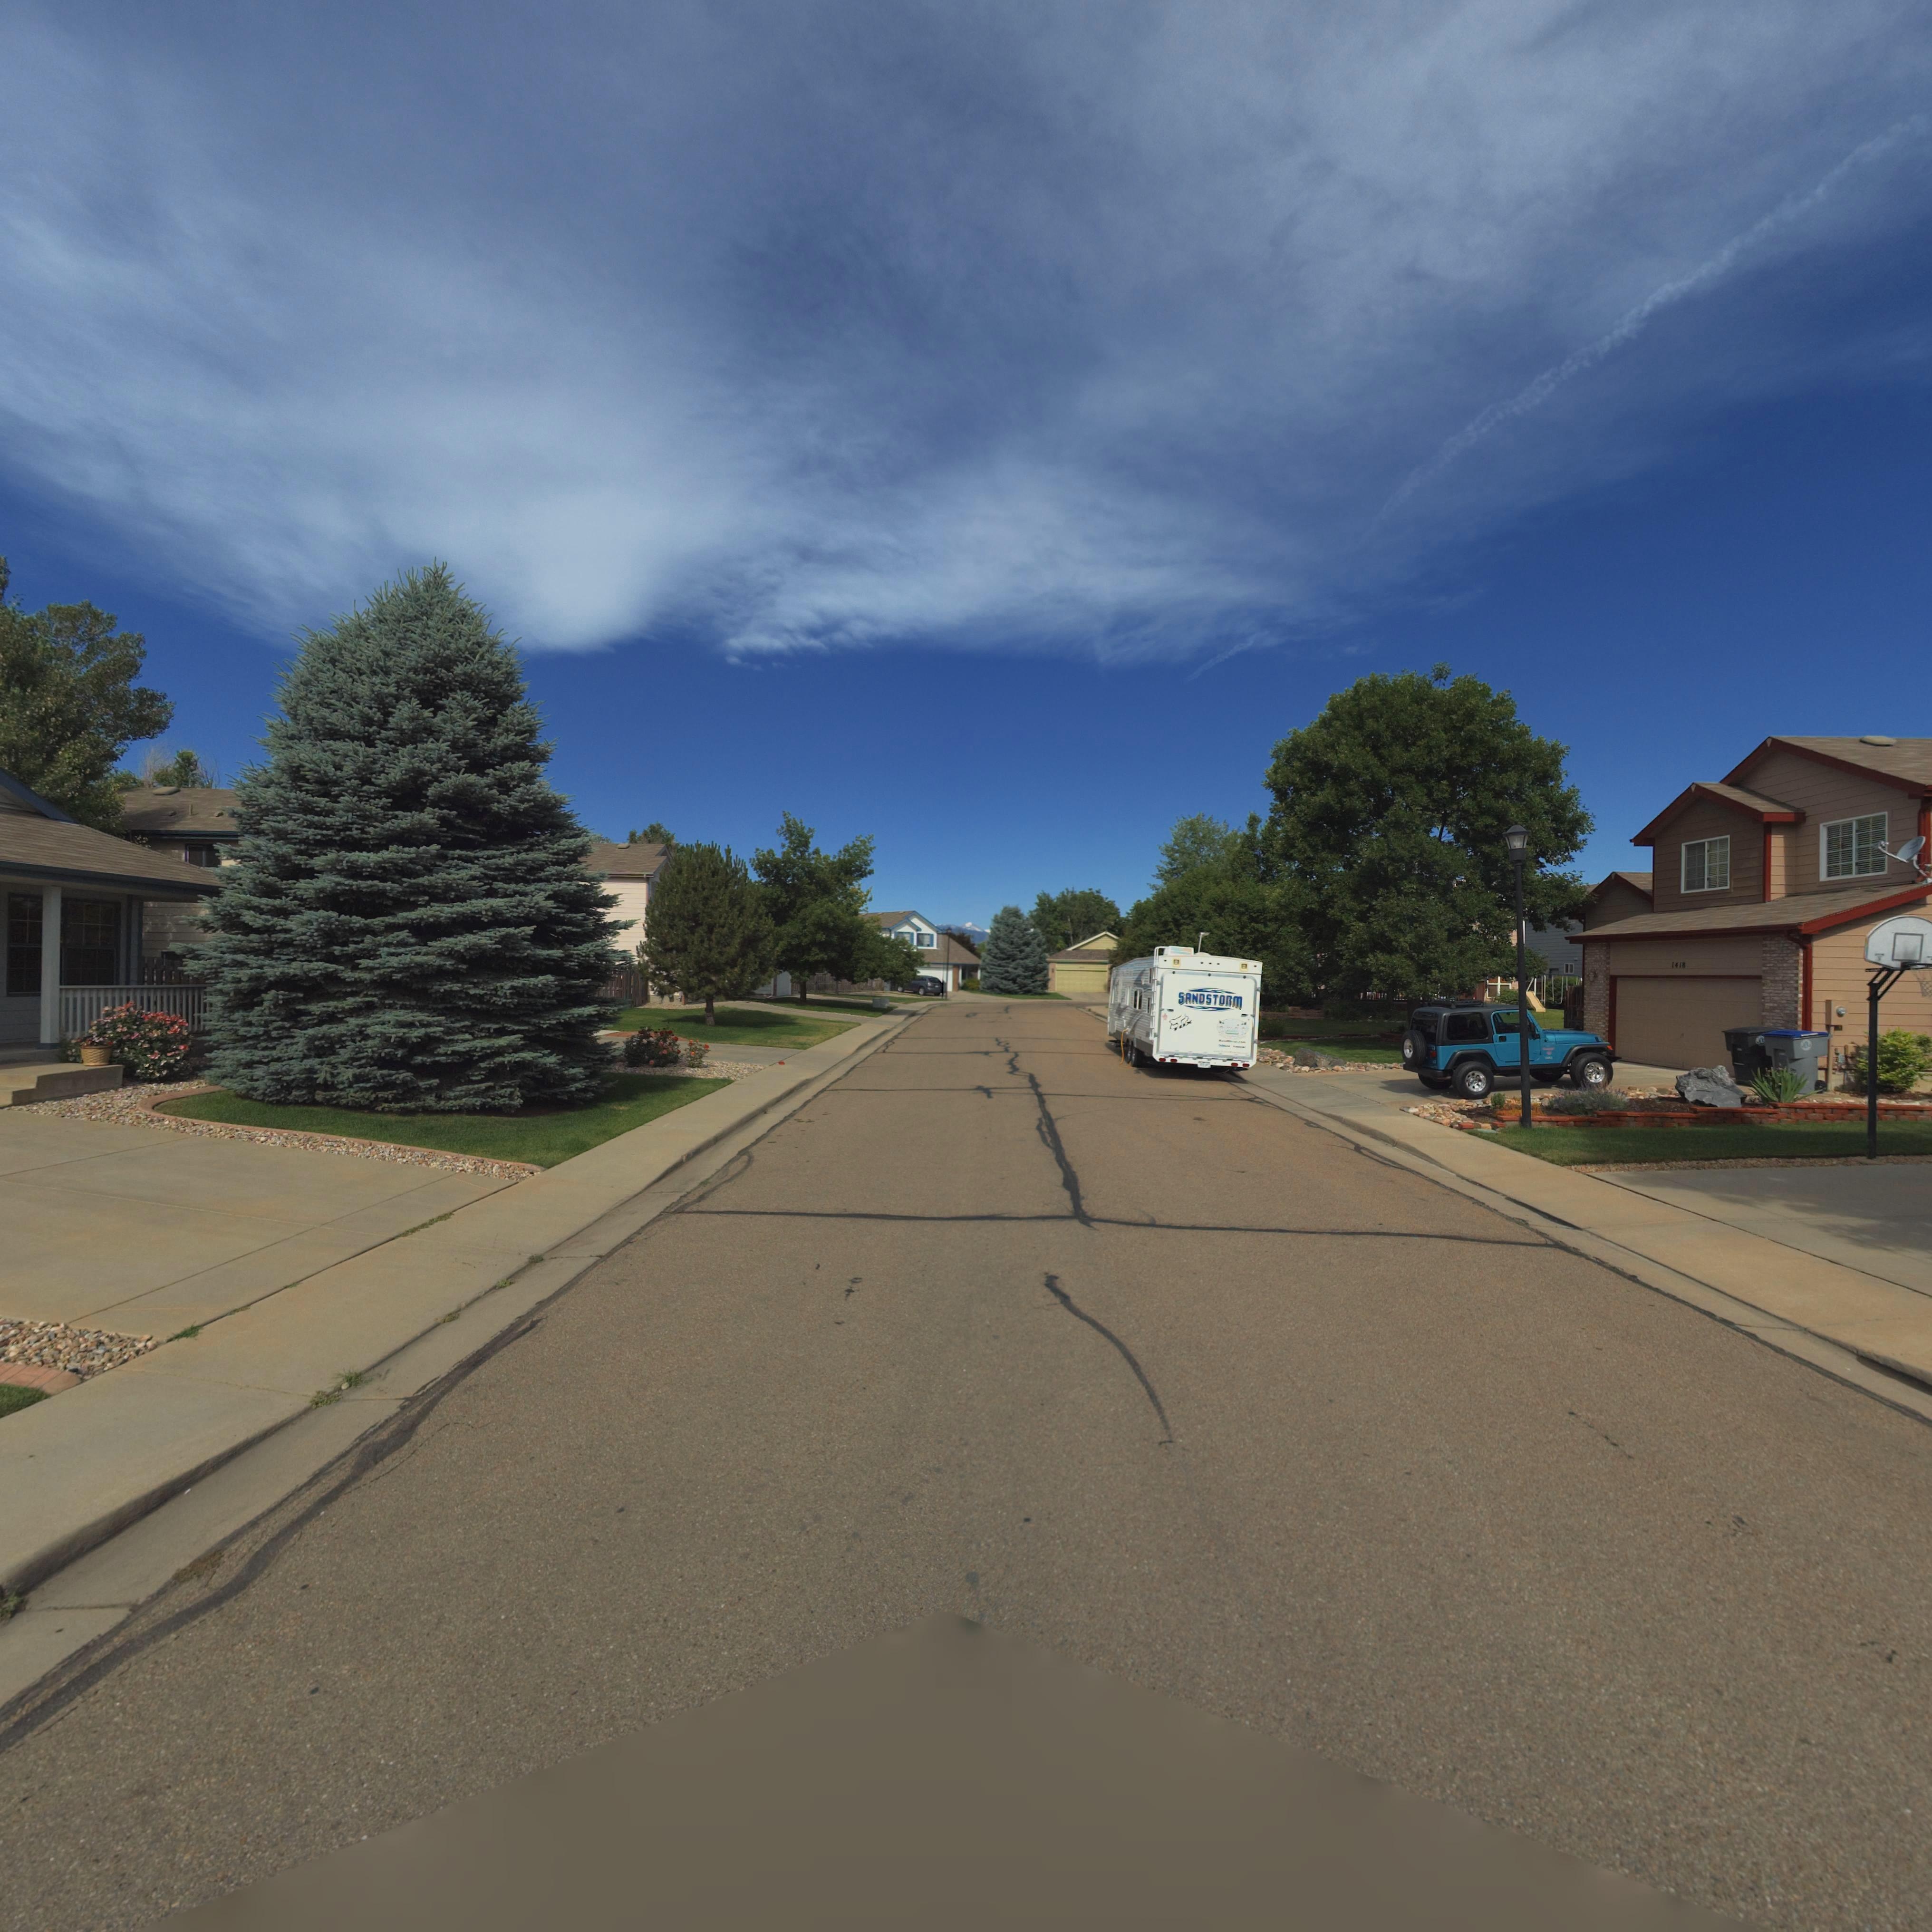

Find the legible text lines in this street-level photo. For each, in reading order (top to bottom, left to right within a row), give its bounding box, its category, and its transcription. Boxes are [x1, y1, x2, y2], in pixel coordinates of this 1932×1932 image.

[1671, 961, 1686, 969] StreetNumber: 1418